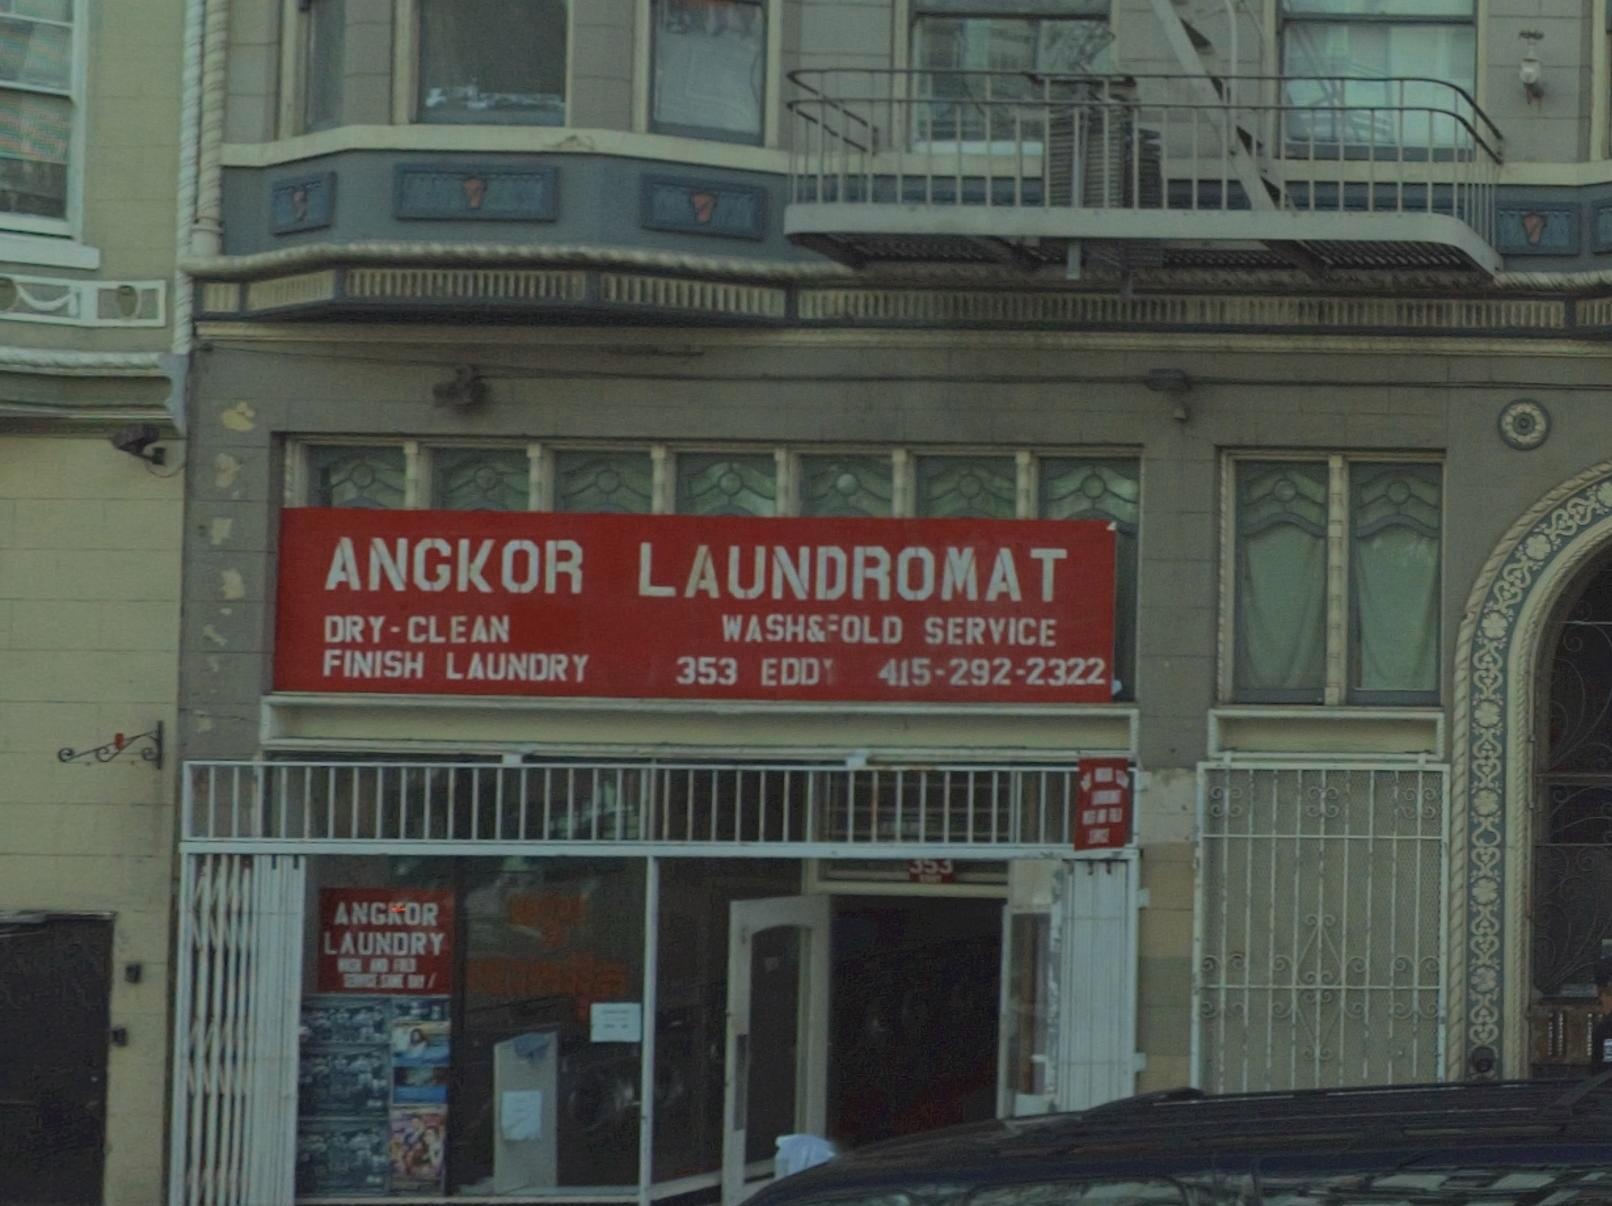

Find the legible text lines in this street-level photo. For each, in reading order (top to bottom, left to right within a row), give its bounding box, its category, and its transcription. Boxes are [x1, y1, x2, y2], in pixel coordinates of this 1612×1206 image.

[318, 532, 1073, 608] BusinessName: ANGKOR LAUNDROMAT
[321, 609, 515, 649] None: DRY-CLEAN
[711, 608, 1064, 653] None: WASH&*OLD SERVICE
[318, 645, 595, 690] None: FINISH LAUNDRY
[673, 652, 742, 689] StreetNumber: 353
[758, 653, 824, 689] StreetName: EDD
[875, 653, 1110, 689] None: 415-292-2322
[329, 898, 441, 930] BusinessName: ANG*OR
[321, 929, 450, 958] BusinessName: LAUNDRY